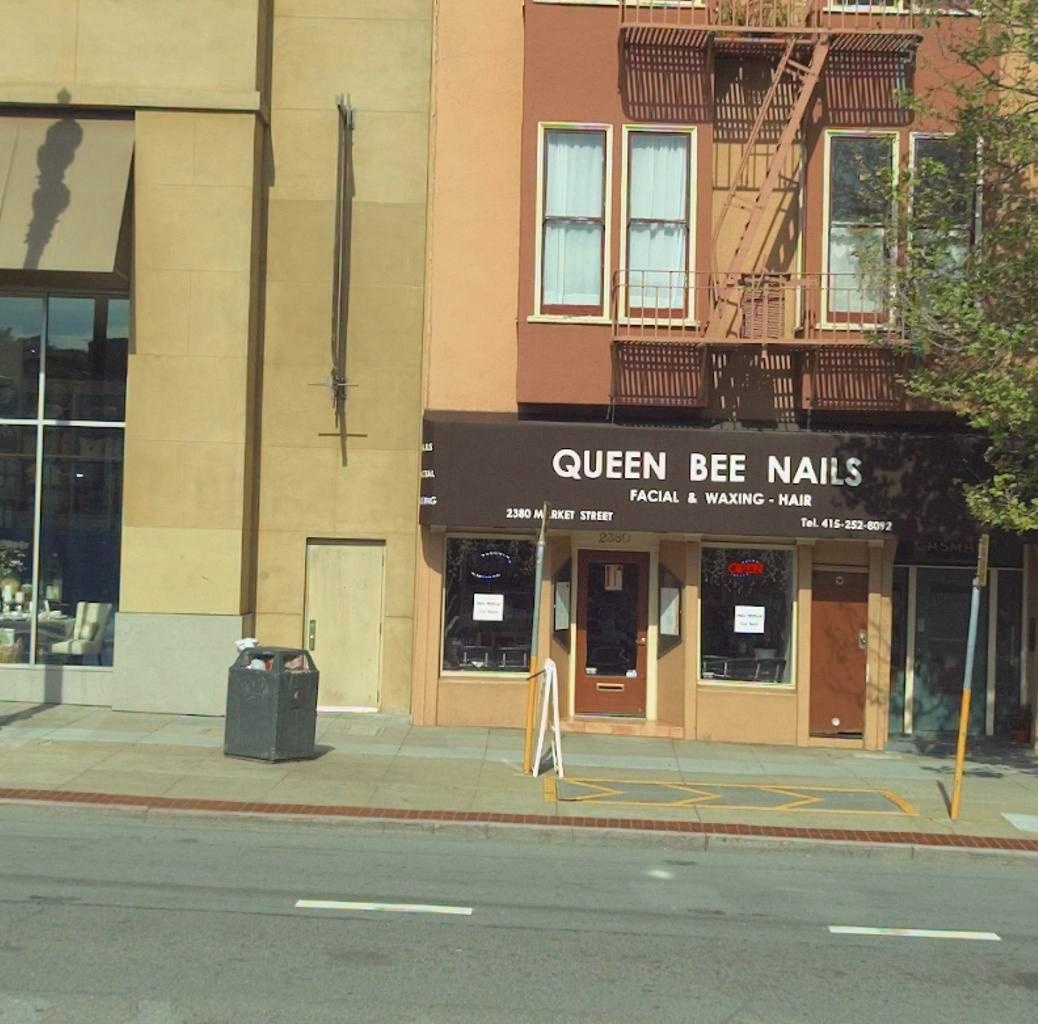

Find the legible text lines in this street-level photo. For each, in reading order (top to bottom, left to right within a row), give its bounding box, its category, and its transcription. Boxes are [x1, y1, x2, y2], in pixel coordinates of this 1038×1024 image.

[550, 447, 865, 488] BusinessName: QUEEN BEE NAILS
[628, 488, 814, 508] None: FACIAL & WAXING - HAIR
[505, 507, 532, 520] StreetNumber: 2380
[533, 507, 575, 521] StreetName: M*RKET
[579, 510, 615, 522] StreetName: STREET
[799, 516, 893, 532] None: Tel. 415-252-8092
[598, 531, 632, 544] StreetNumber: 2380
[727, 561, 765, 575] None: OPEN